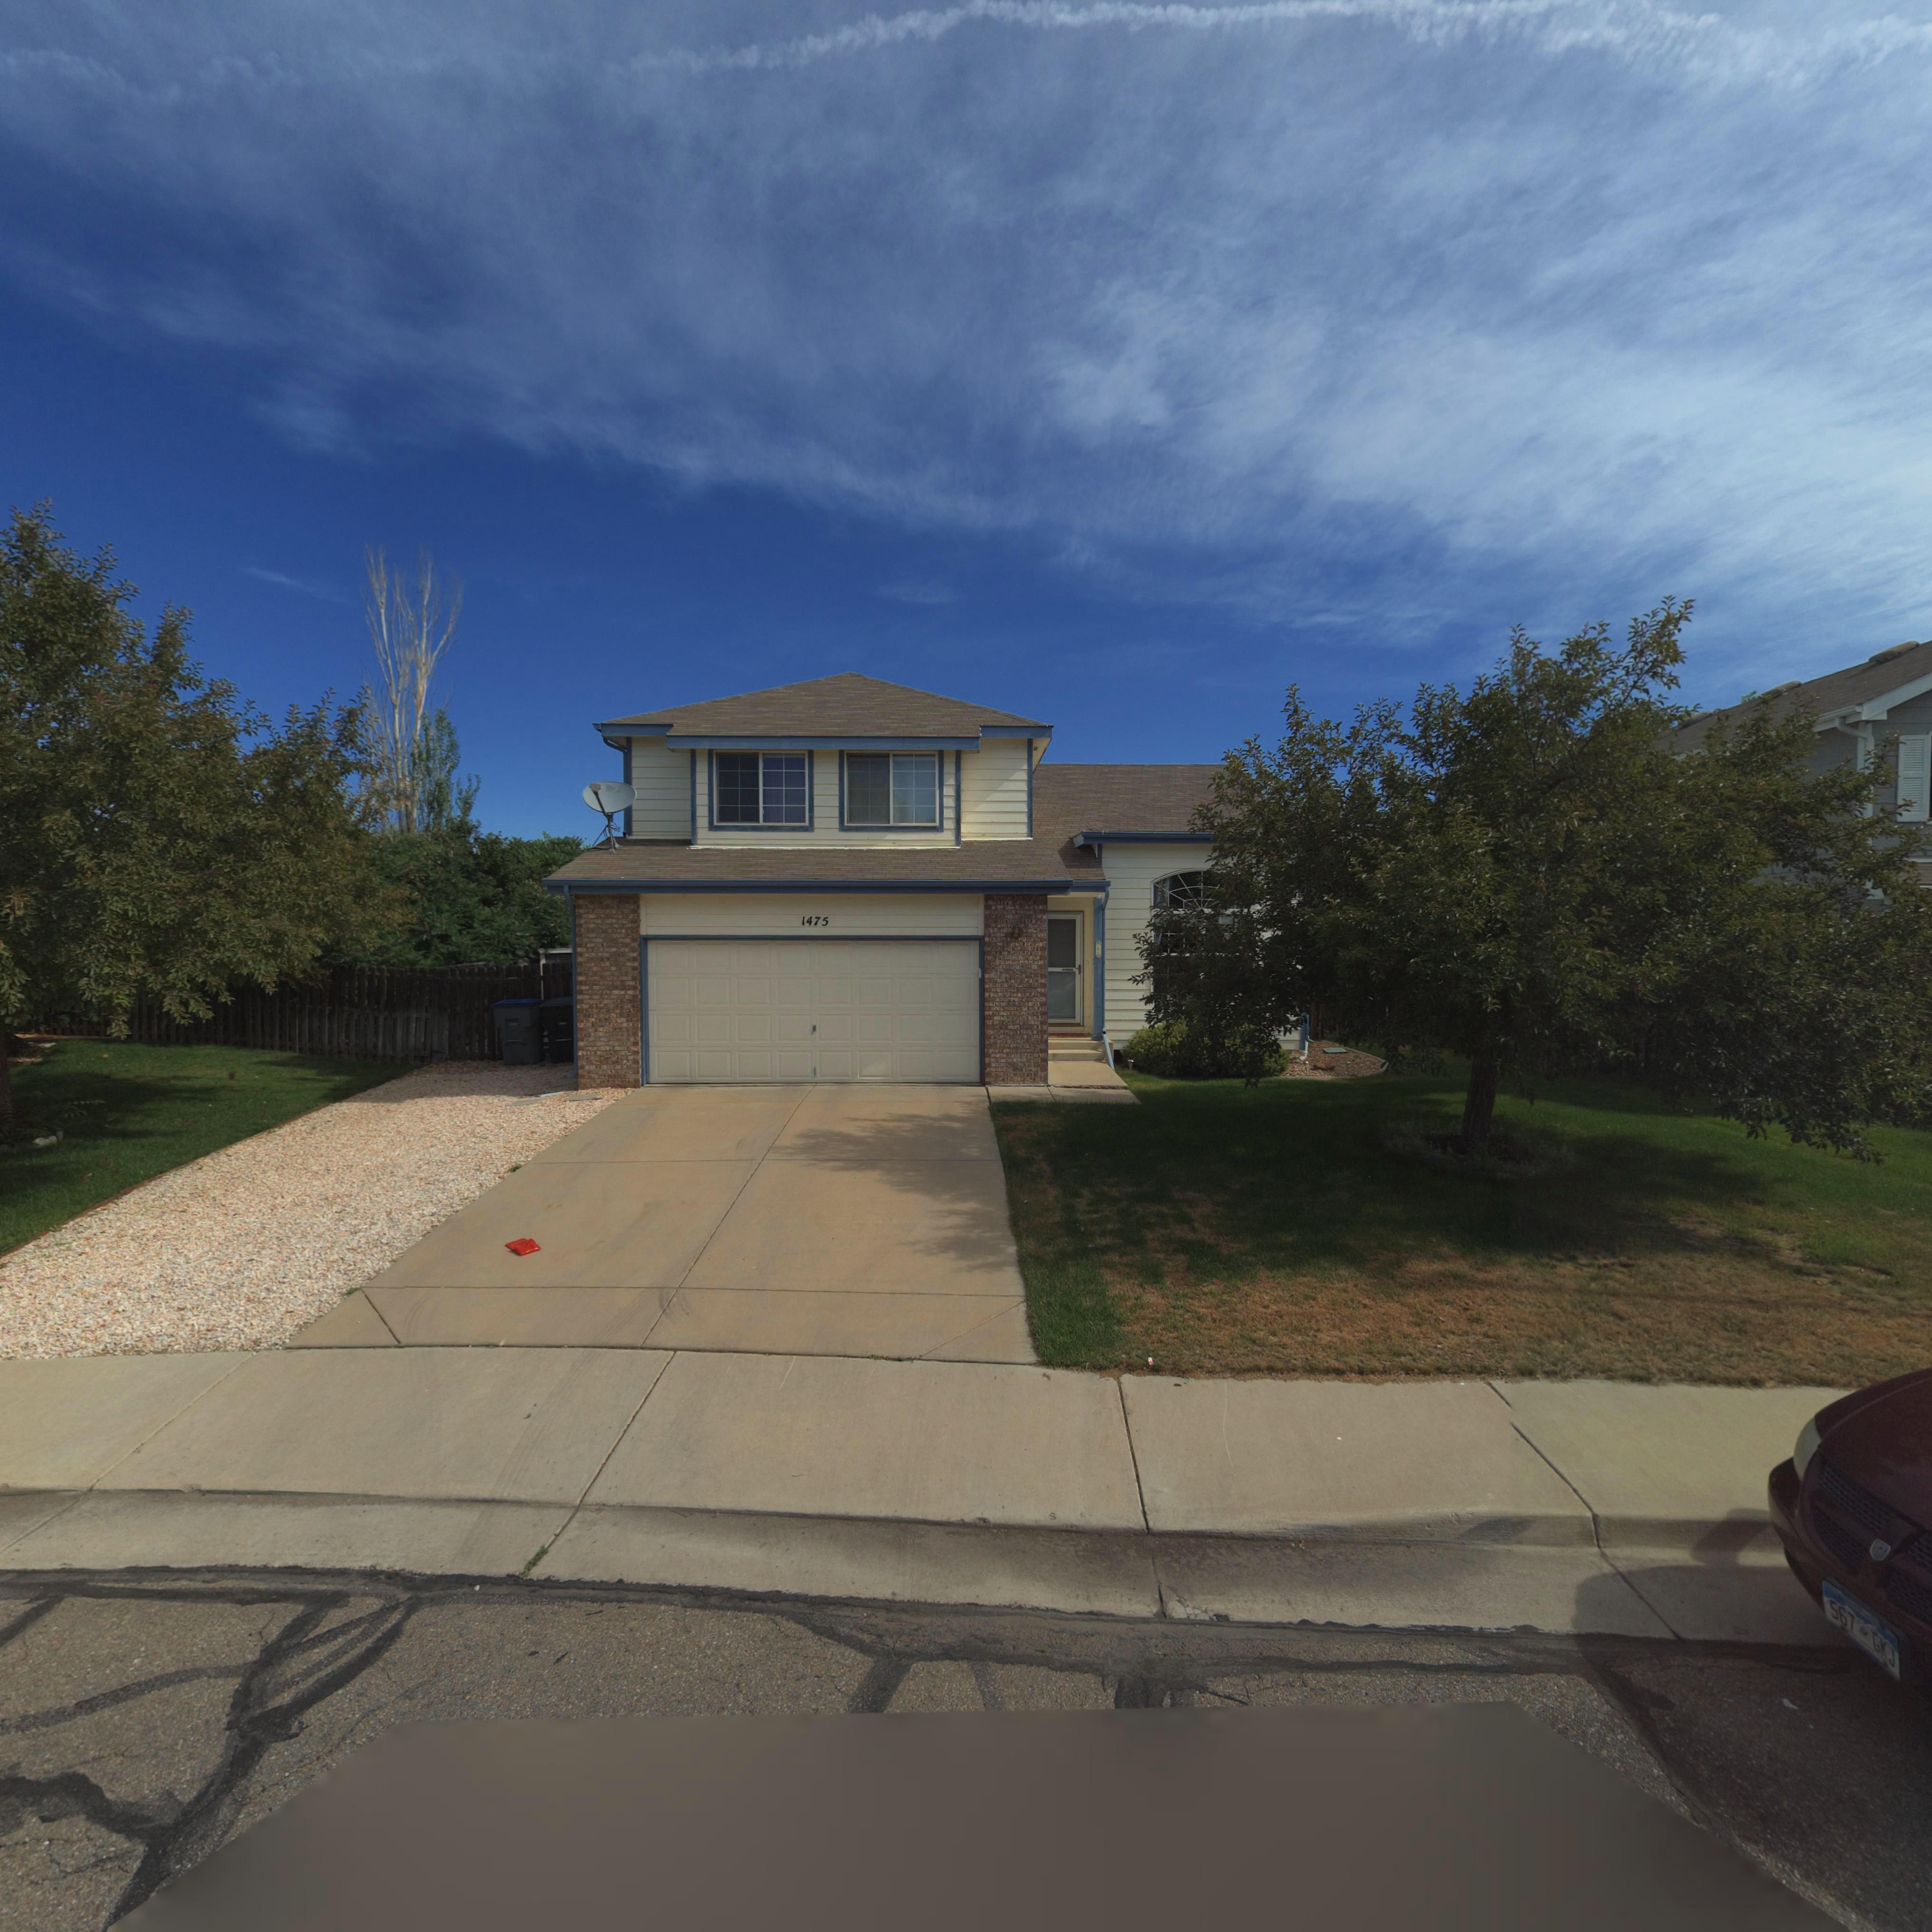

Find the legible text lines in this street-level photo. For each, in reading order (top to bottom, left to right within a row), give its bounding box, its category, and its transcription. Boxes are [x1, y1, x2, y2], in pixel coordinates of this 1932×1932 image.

[802, 915, 829, 927] StreetNumber: 1475